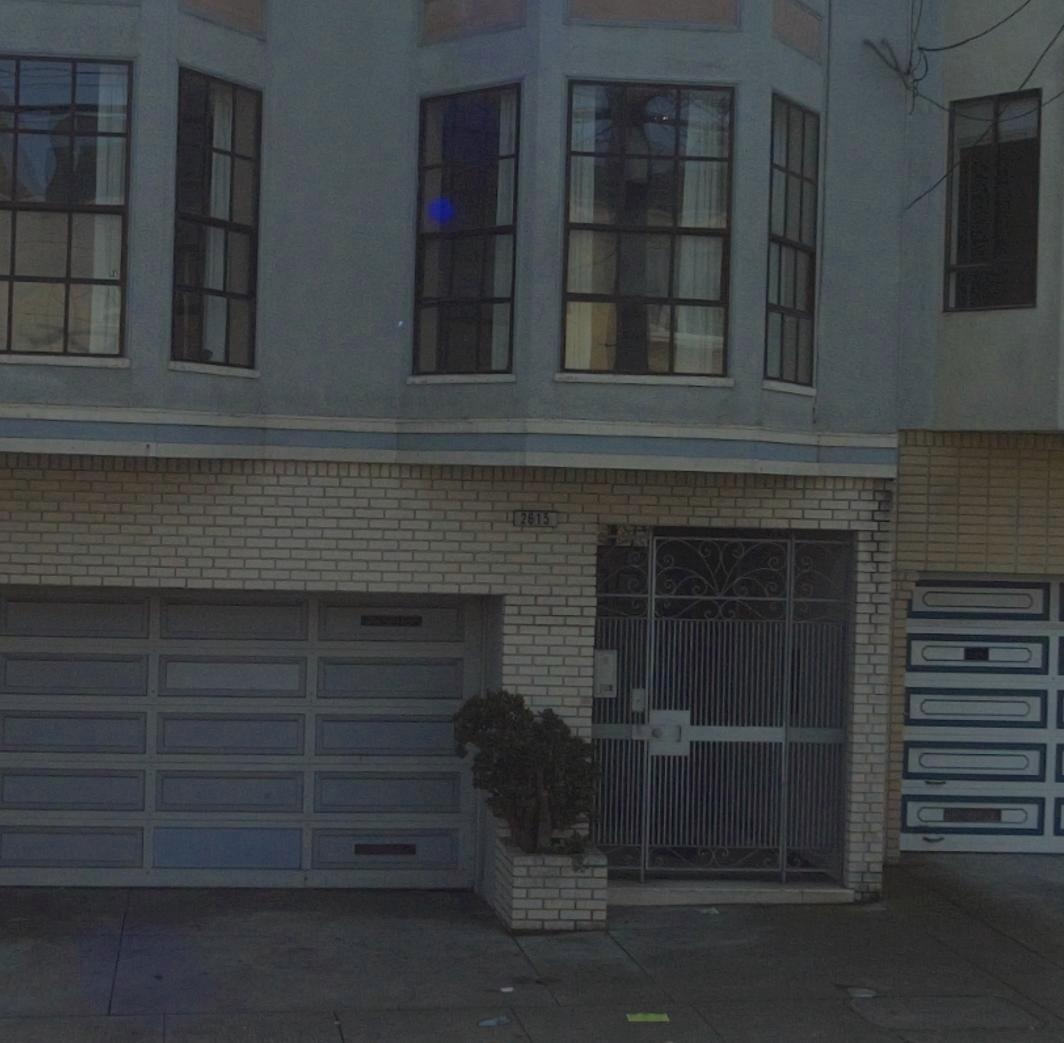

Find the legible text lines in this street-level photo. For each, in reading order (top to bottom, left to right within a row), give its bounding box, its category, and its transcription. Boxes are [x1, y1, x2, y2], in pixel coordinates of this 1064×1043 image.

[518, 511, 551, 526] StreetNumber: 2615